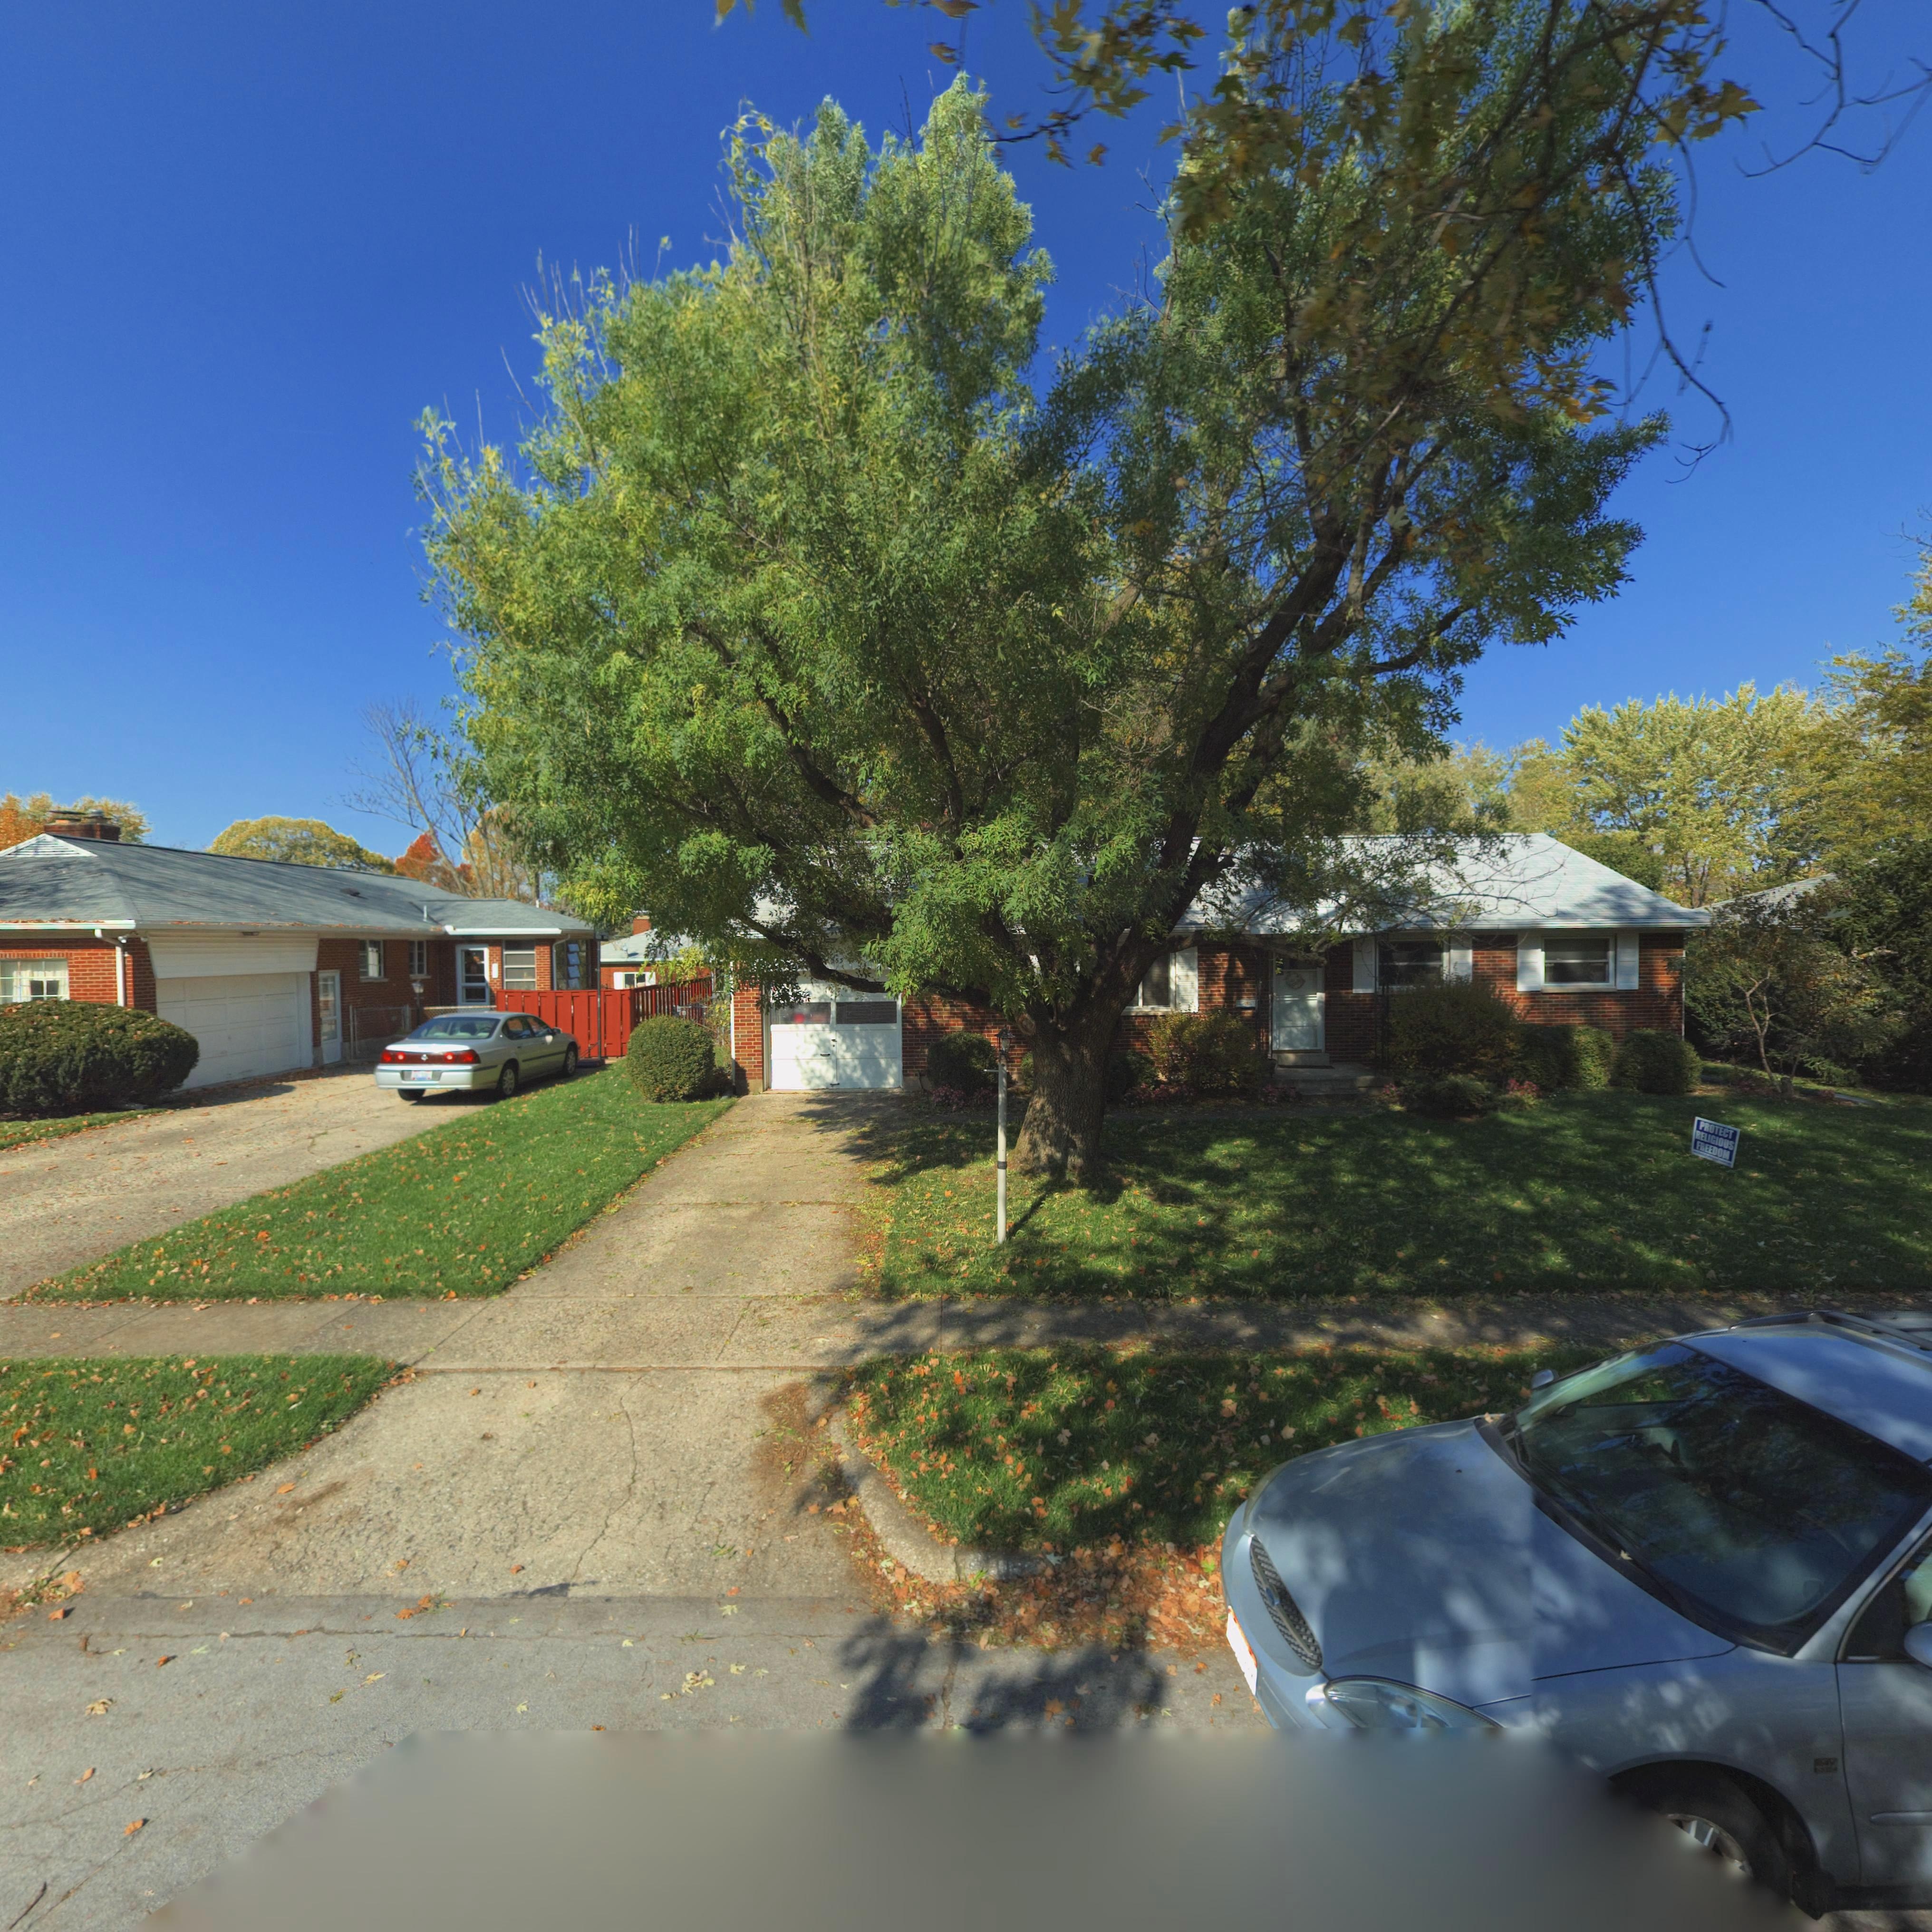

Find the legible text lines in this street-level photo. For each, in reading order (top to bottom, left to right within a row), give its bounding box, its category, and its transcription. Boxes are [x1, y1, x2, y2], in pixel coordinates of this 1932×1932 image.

[1699, 1120, 1735, 1140] None: PROTECT
[1695, 1140, 1731, 1161] None: FREEDOM
[1695, 1130, 1736, 1151] None: REIGIOUS